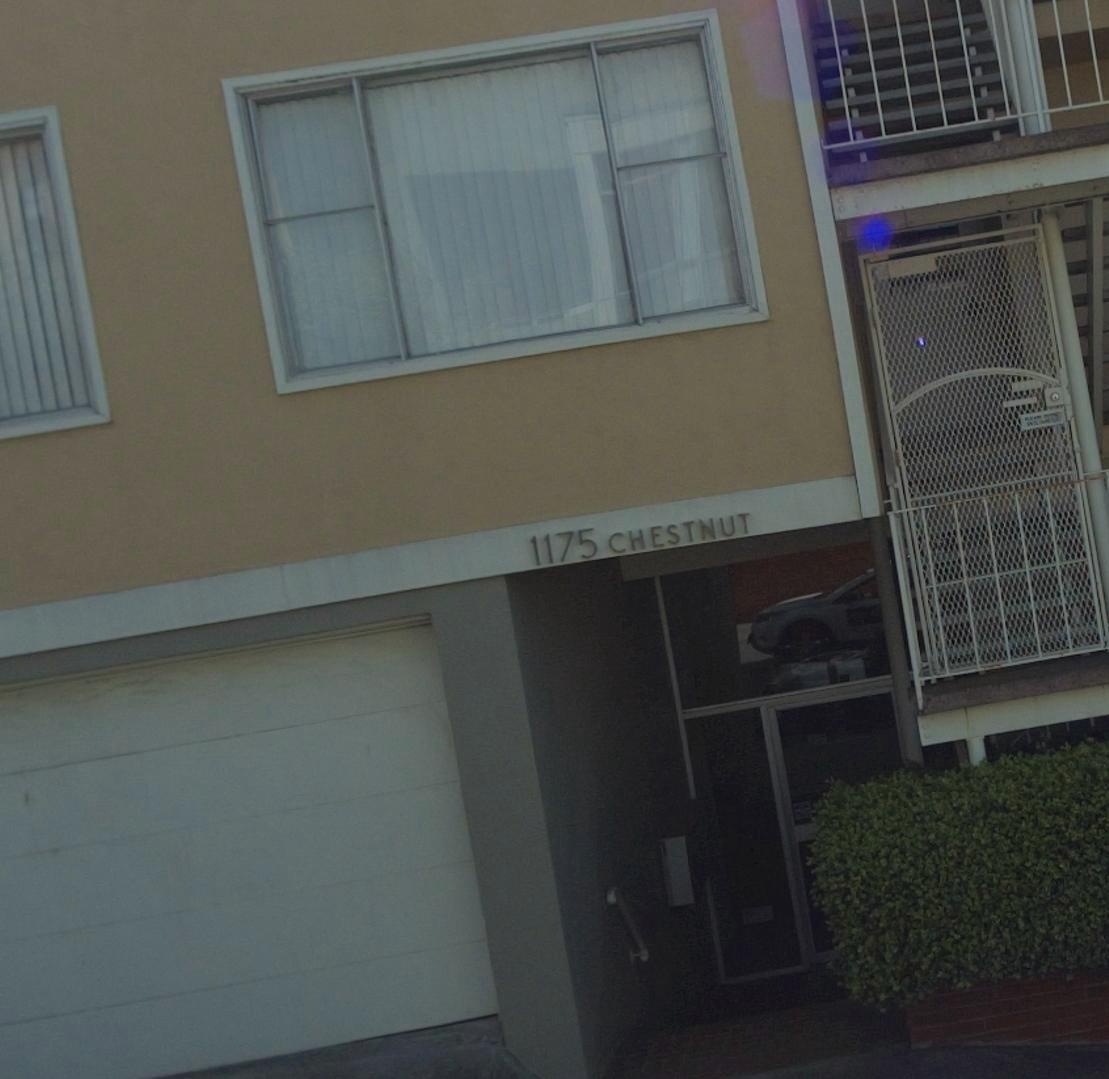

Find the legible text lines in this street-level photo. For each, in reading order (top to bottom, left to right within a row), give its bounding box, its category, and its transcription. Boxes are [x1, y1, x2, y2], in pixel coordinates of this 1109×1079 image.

[527, 525, 600, 568] StreetNumber: 1175
[606, 510, 751, 555] StreetName: CHESTNUT